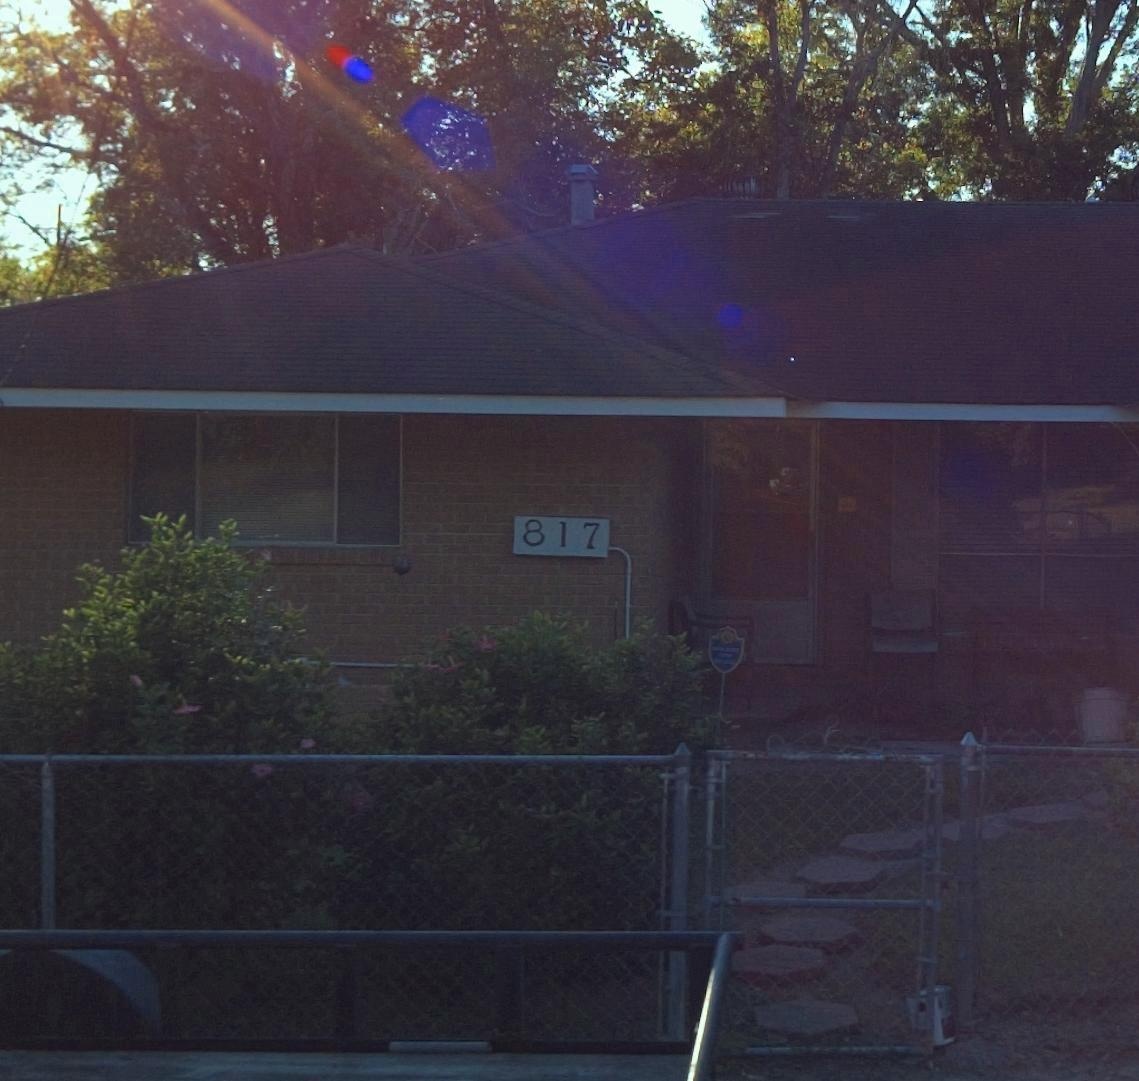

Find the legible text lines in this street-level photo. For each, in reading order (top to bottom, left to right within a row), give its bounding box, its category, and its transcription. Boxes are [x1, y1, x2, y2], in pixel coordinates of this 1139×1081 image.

[520, 516, 603, 553] StreetNumber: 817